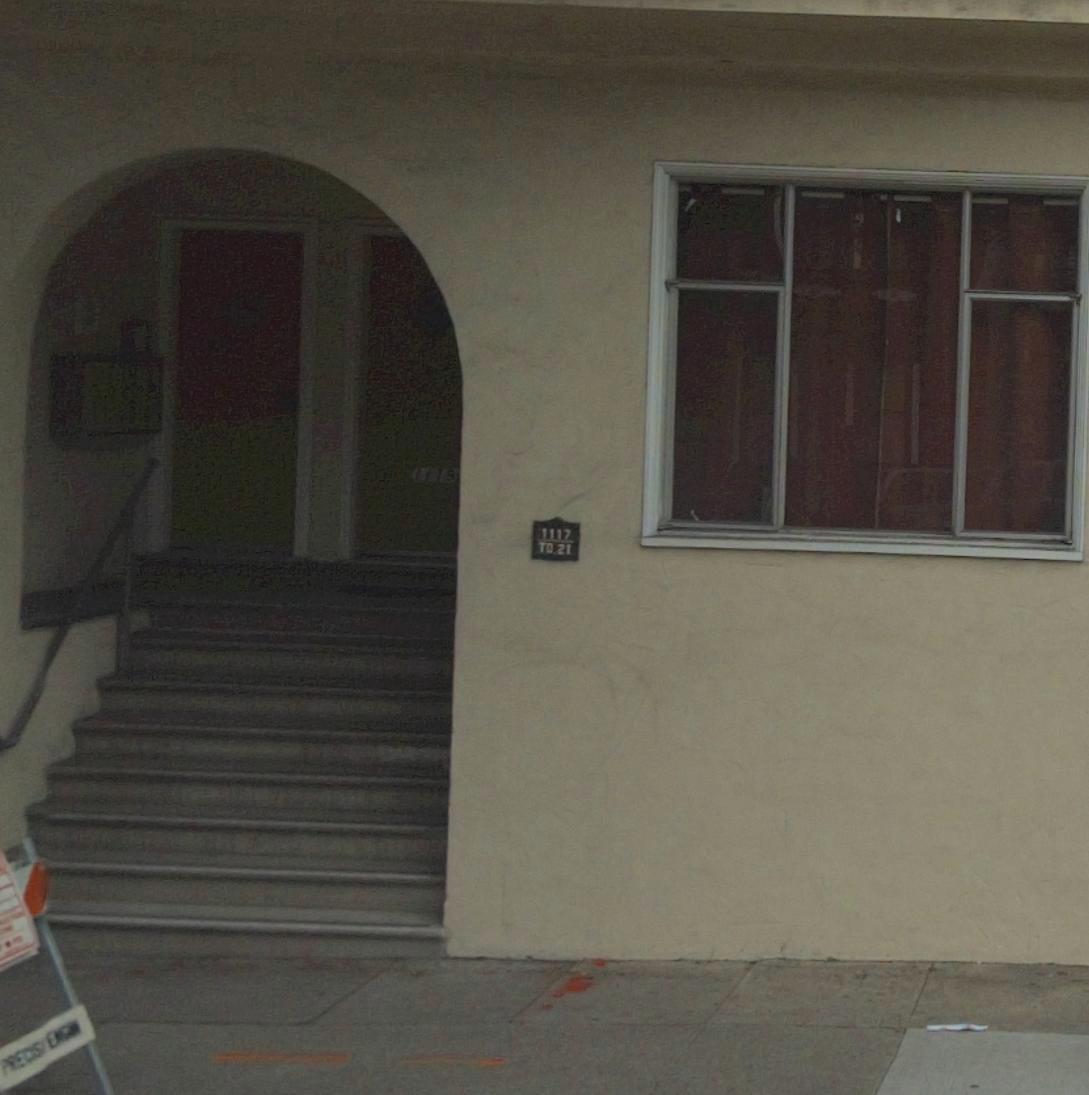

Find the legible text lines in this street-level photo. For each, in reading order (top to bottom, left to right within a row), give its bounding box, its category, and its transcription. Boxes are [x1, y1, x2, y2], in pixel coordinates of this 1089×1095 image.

[412, 467, 459, 483] StreetNumber: 1119
[541, 527, 574, 541] StreetNumber: 1117
[537, 542, 555, 555] None: TO
[556, 543, 572, 556] StreetNumber: 21